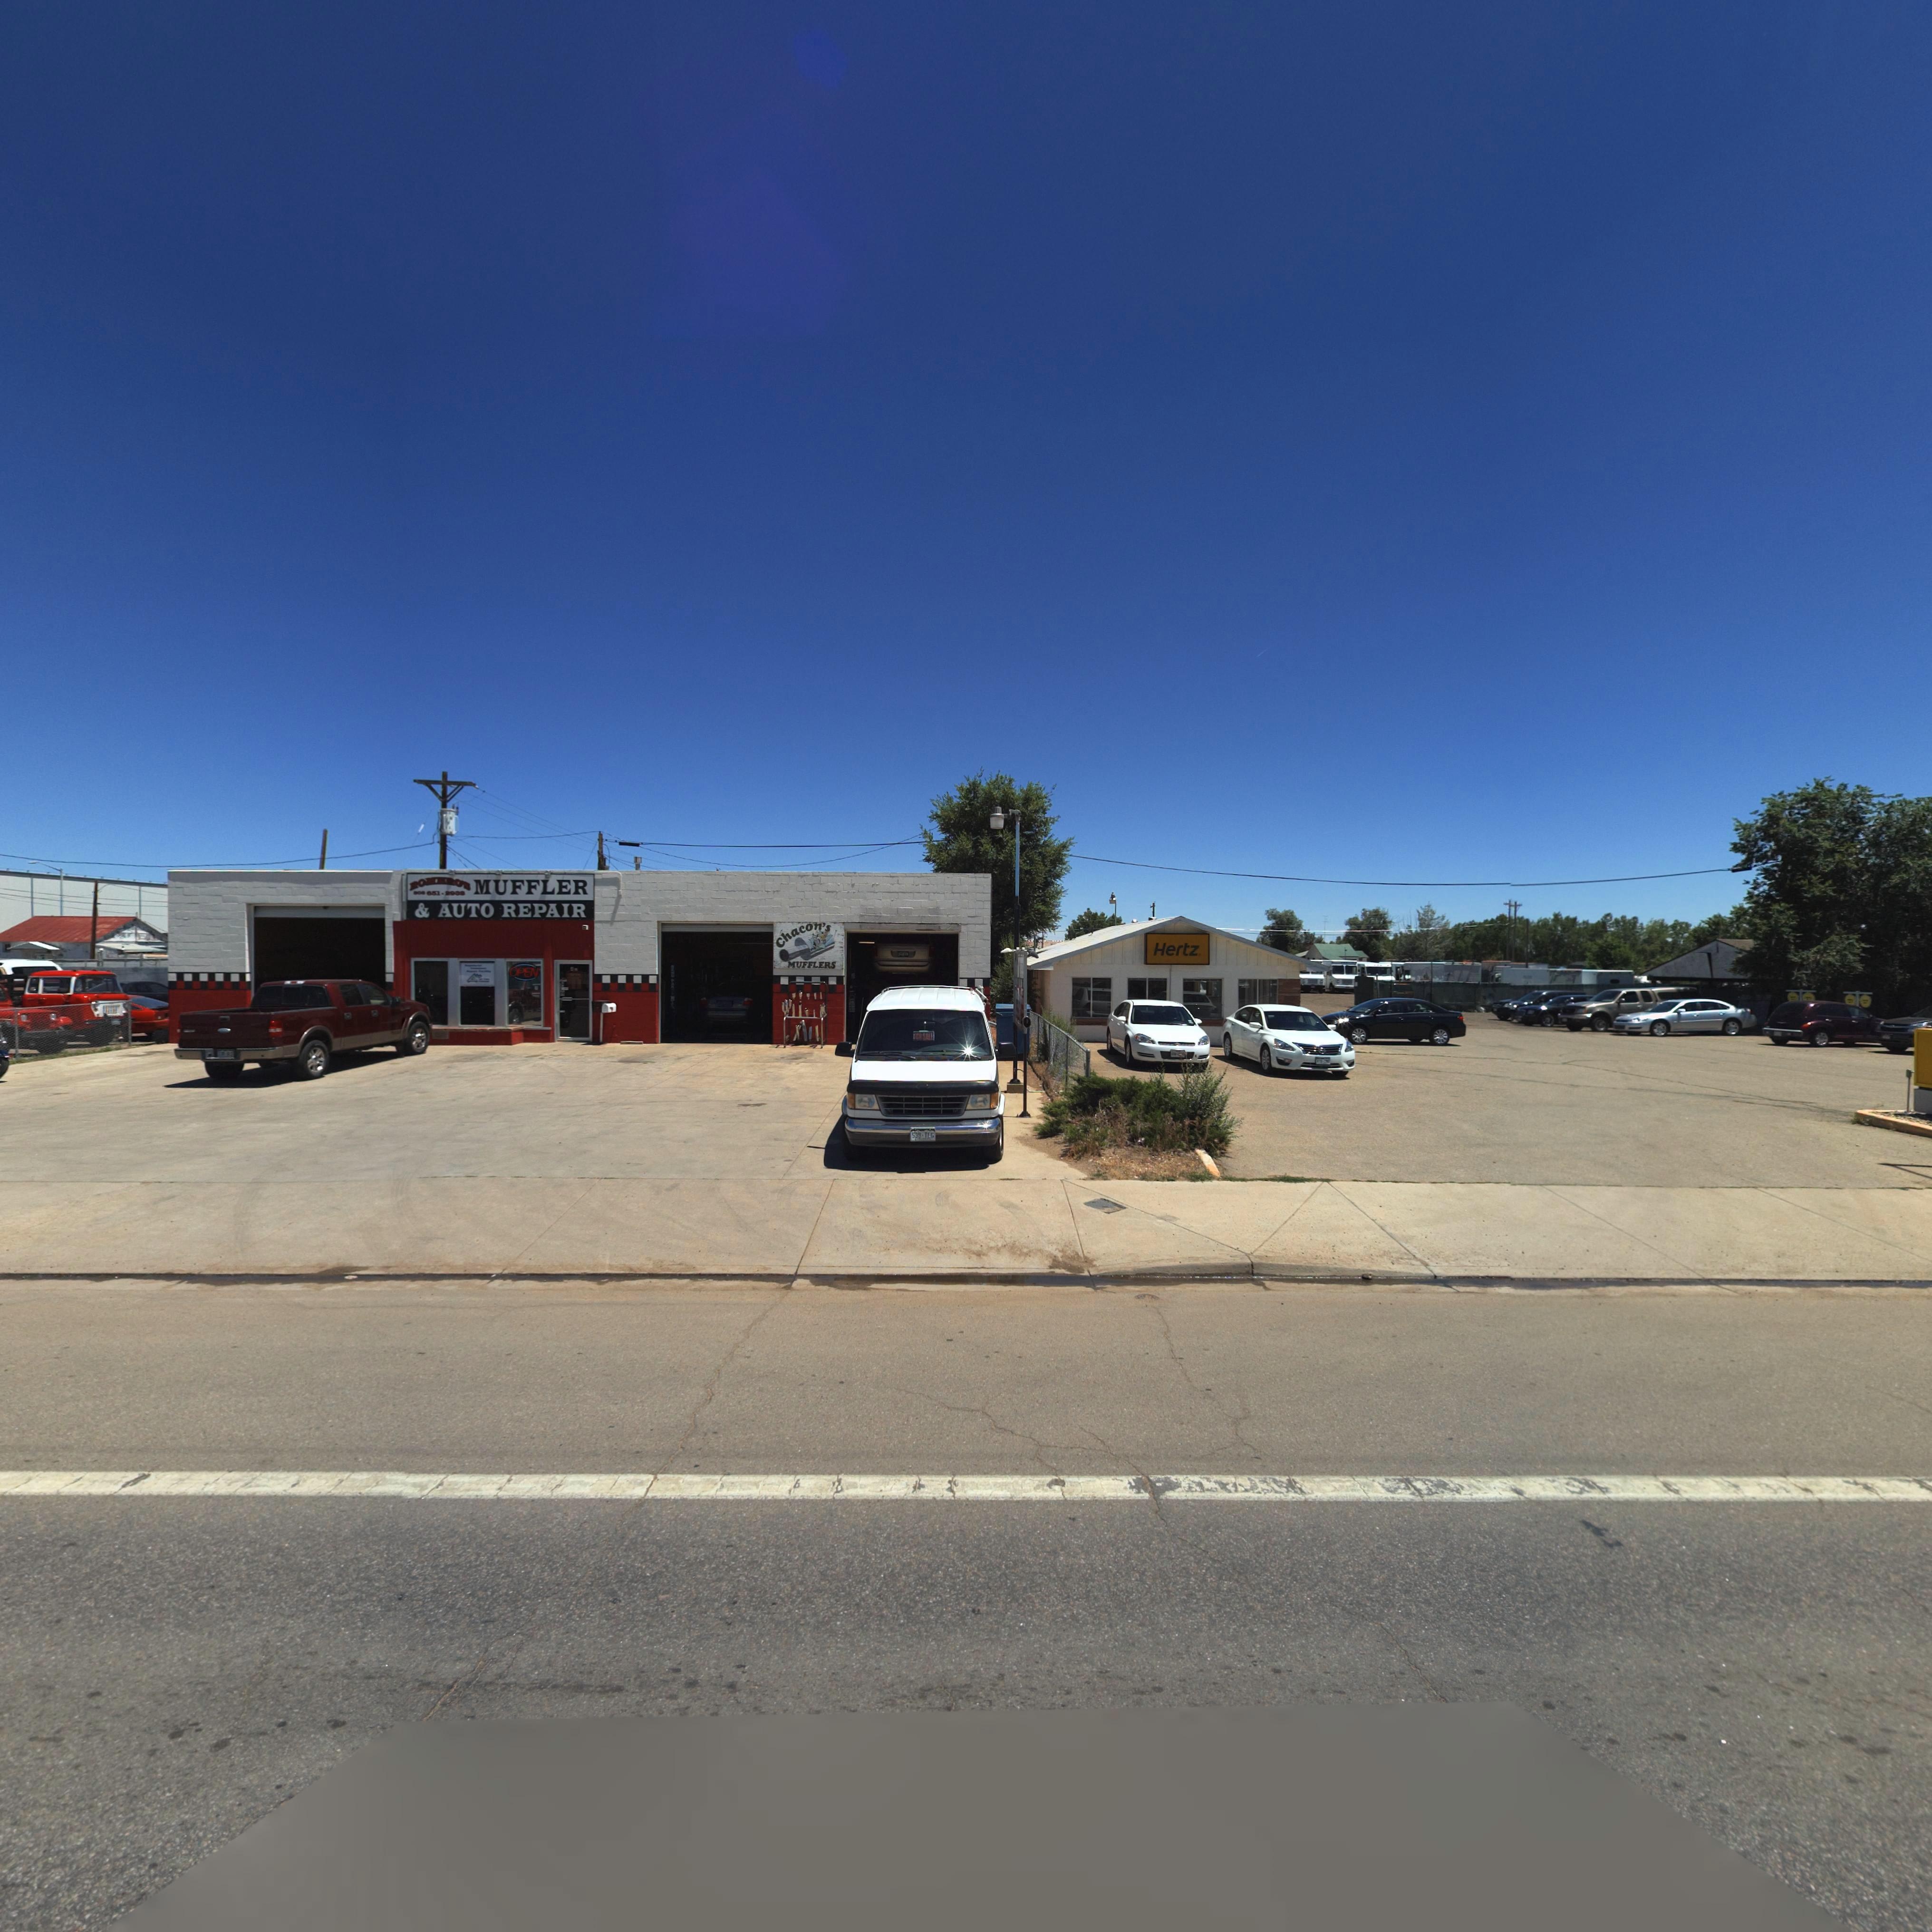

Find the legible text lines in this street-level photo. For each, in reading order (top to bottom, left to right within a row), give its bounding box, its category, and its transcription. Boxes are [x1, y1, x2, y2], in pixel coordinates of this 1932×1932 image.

[409, 875, 472, 891] BusinessName: ROM**O*
[473, 879, 589, 895] BusinessName: MUFFLER
[413, 902, 586, 918] BusinessName: & AUTO REPAIR
[775, 922, 832, 948] BusinessName: Chacon's
[1153, 942, 1199, 956] BusinessName: Hertz
[787, 961, 836, 969] BusinessName: MUFFLERS